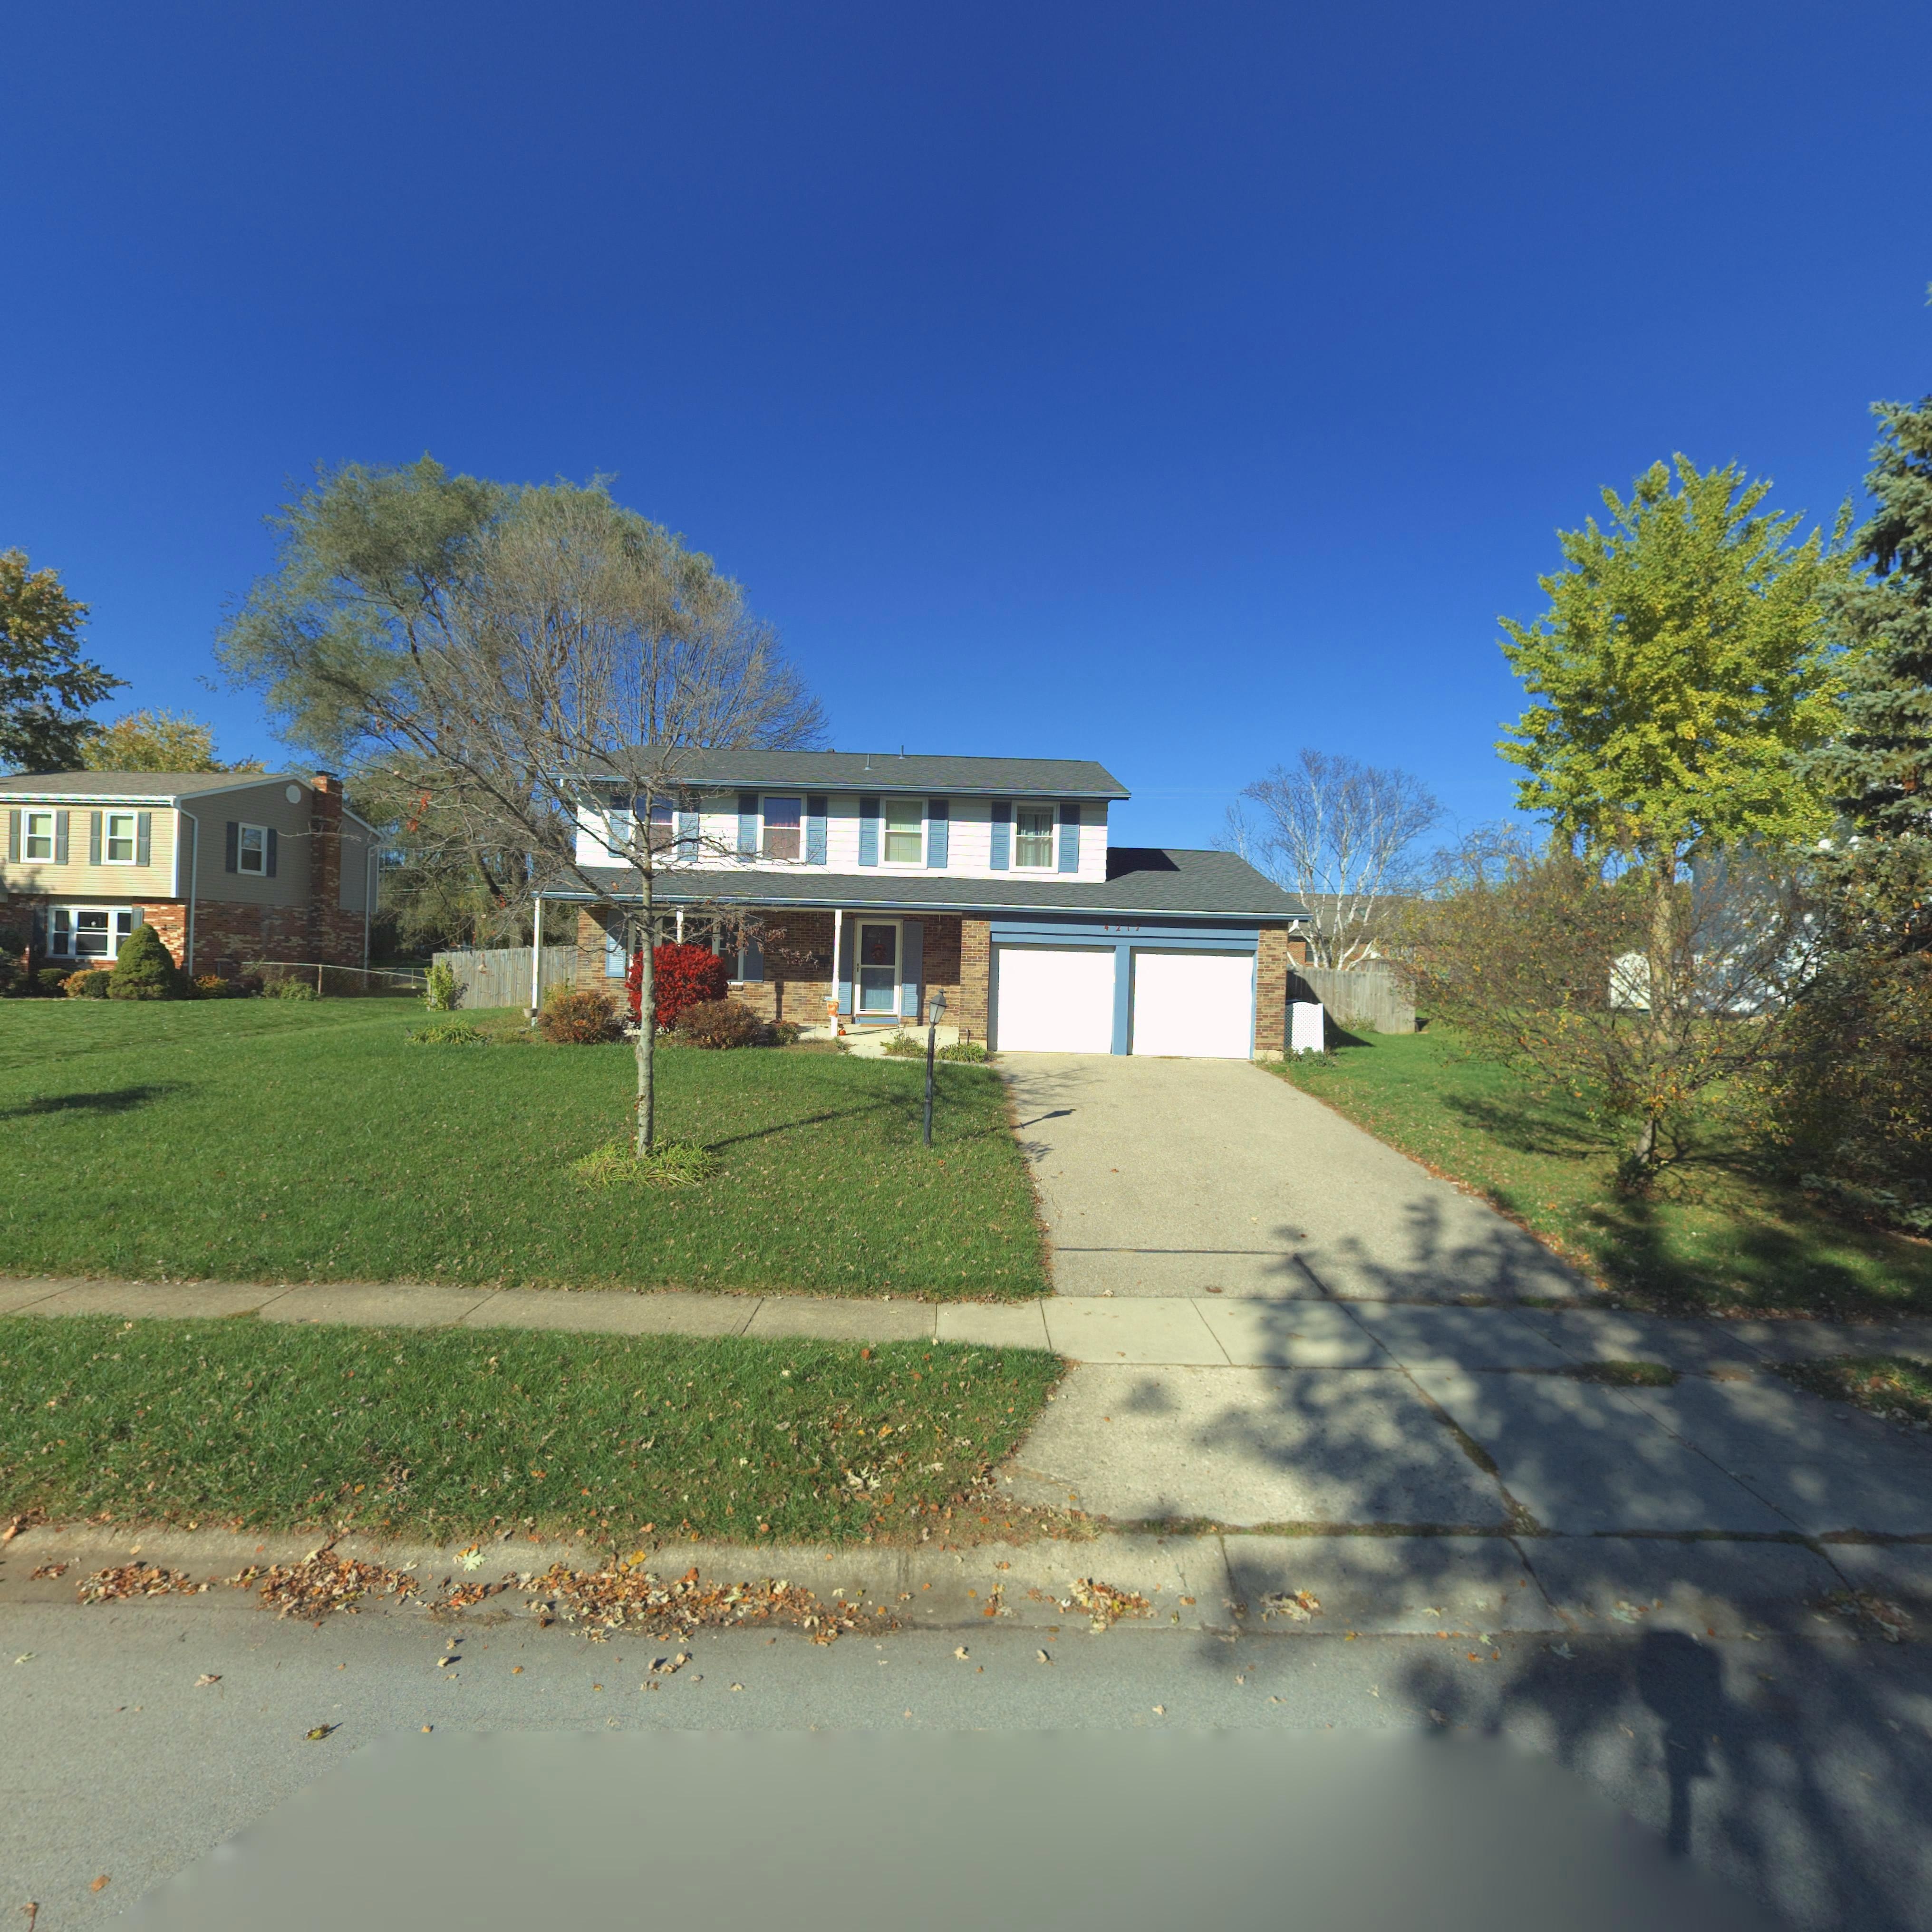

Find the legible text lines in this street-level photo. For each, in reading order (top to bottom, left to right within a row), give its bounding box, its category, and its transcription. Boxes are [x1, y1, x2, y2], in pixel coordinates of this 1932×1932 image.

[1103, 922, 1142, 932] StreetNumber: 4217